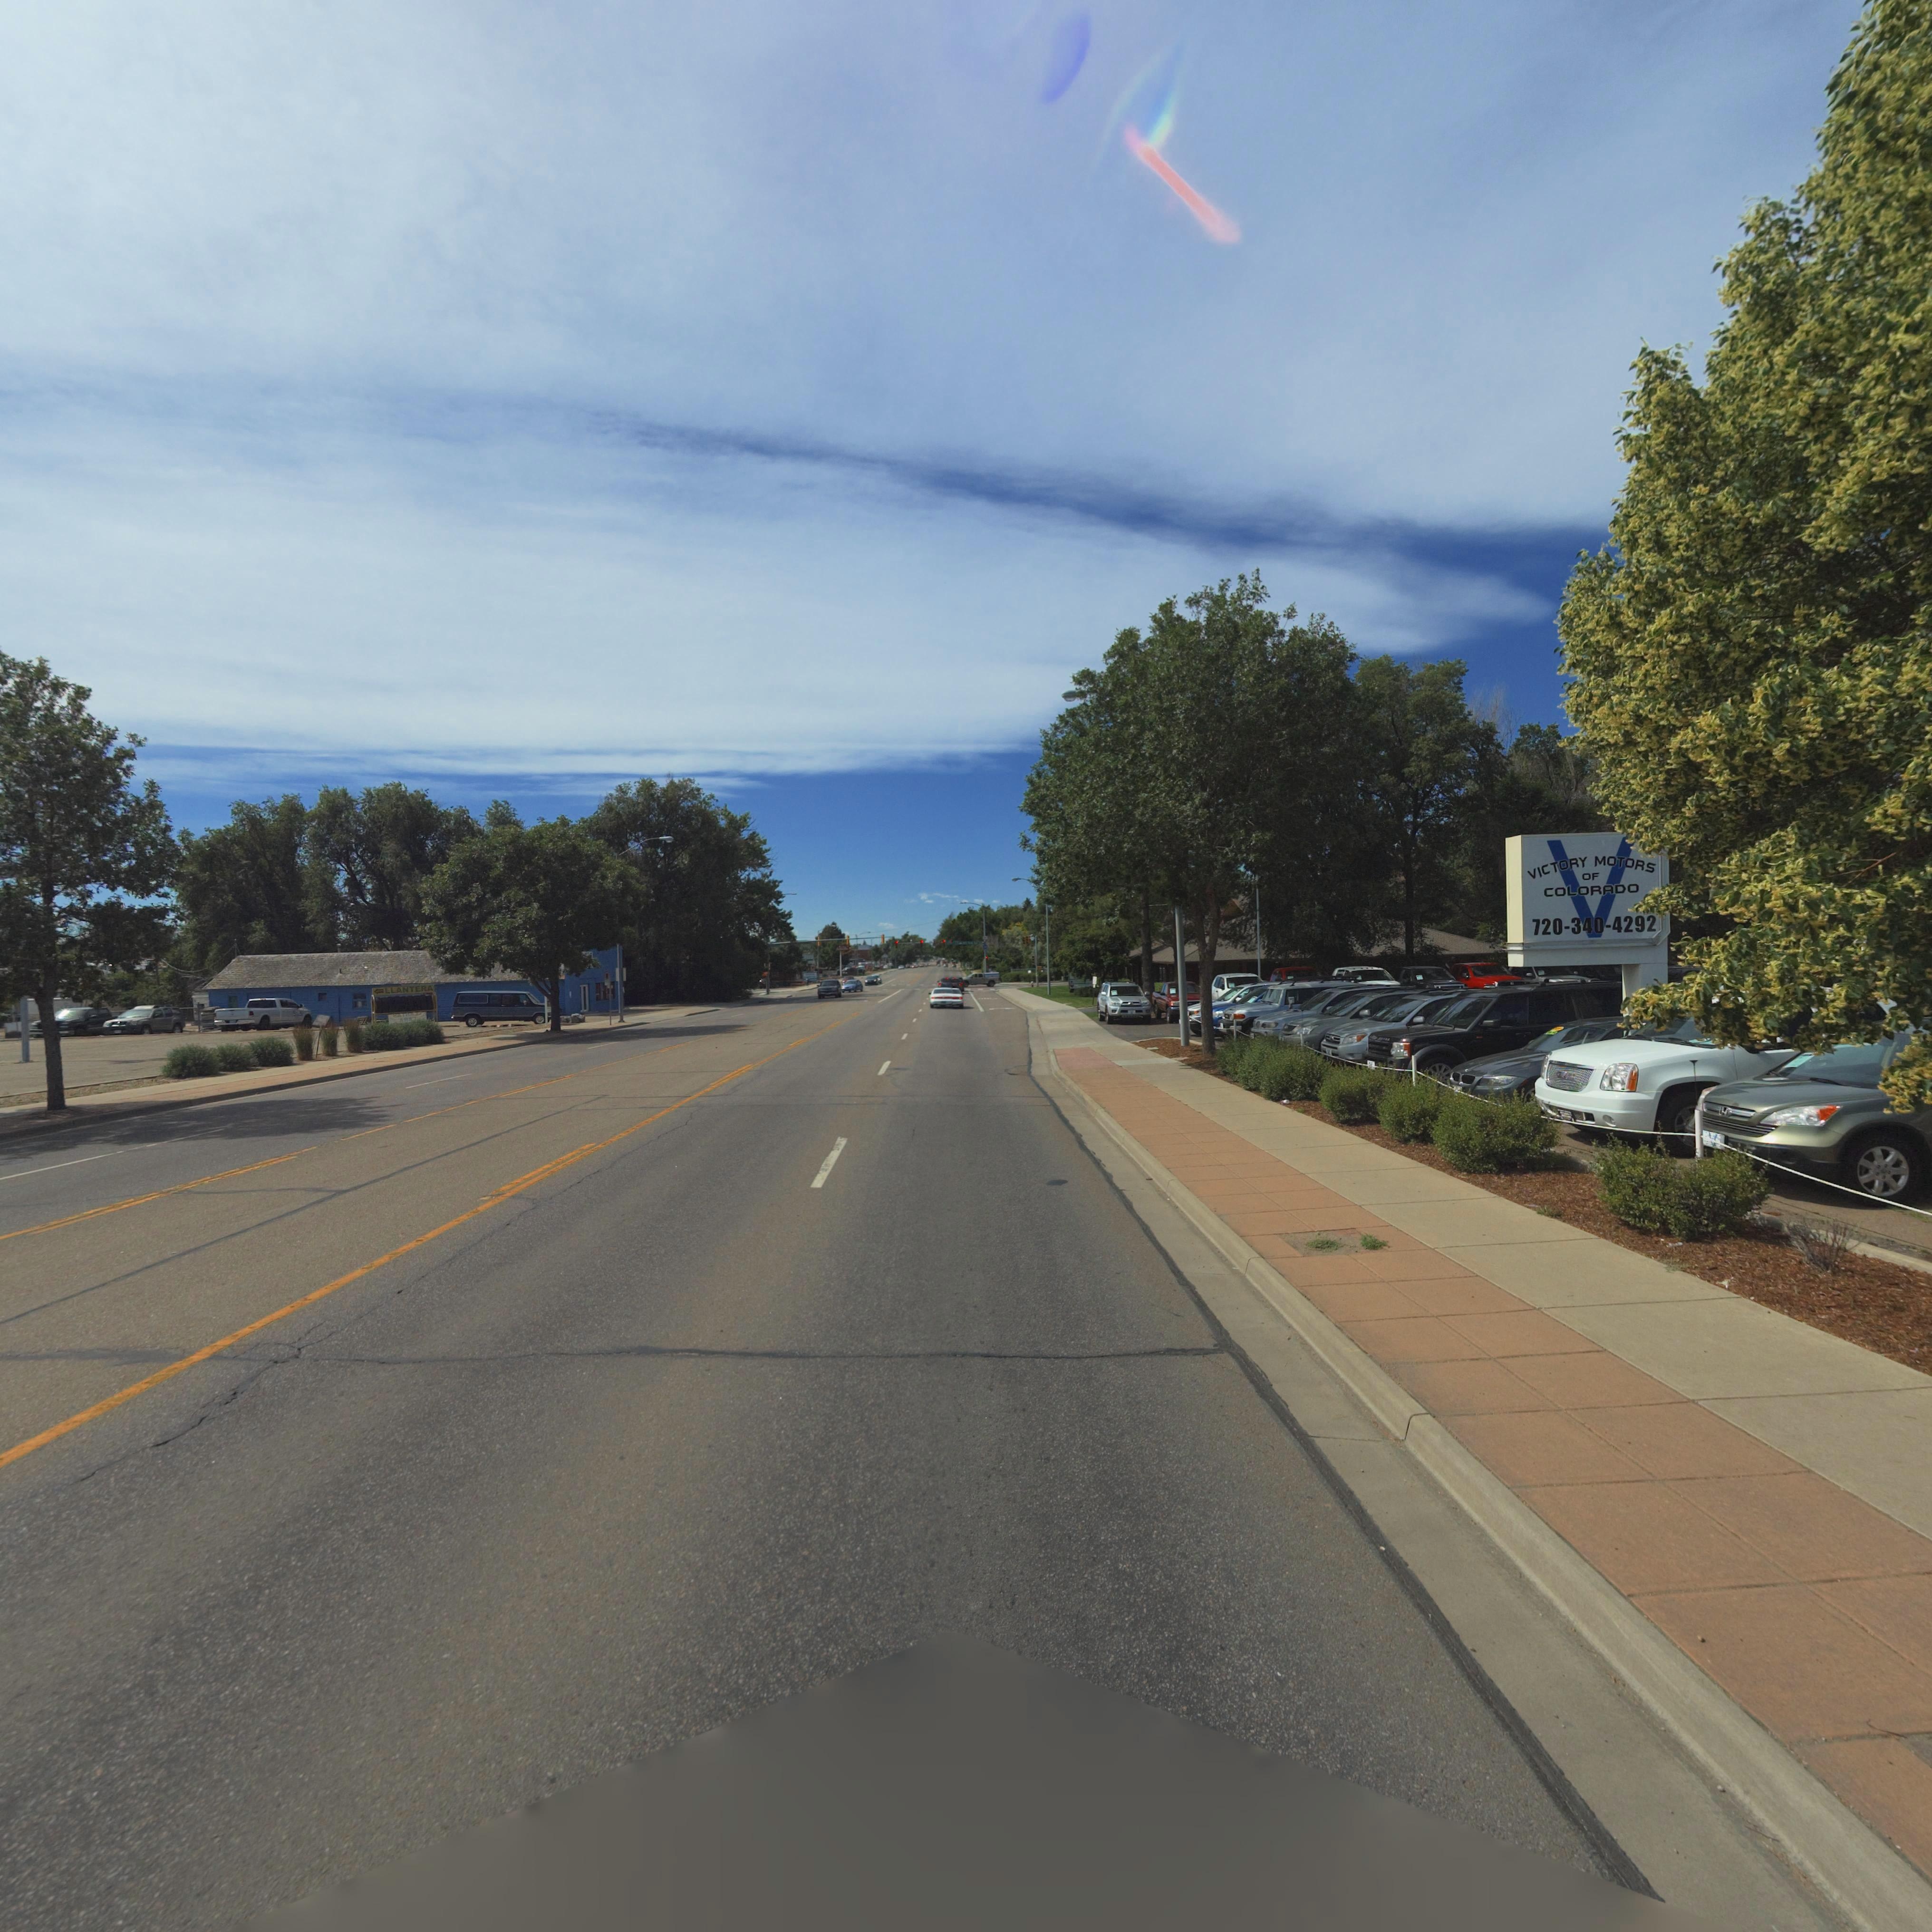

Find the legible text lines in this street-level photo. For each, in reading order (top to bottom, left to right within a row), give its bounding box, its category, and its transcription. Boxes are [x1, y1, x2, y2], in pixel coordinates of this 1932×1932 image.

[1526, 855, 1658, 879] BusinessName: VICTORY MOTORS
[1581, 871, 1600, 881] BusinessName: OF
[1543, 882, 1640, 898] BusinessName: COLORADO